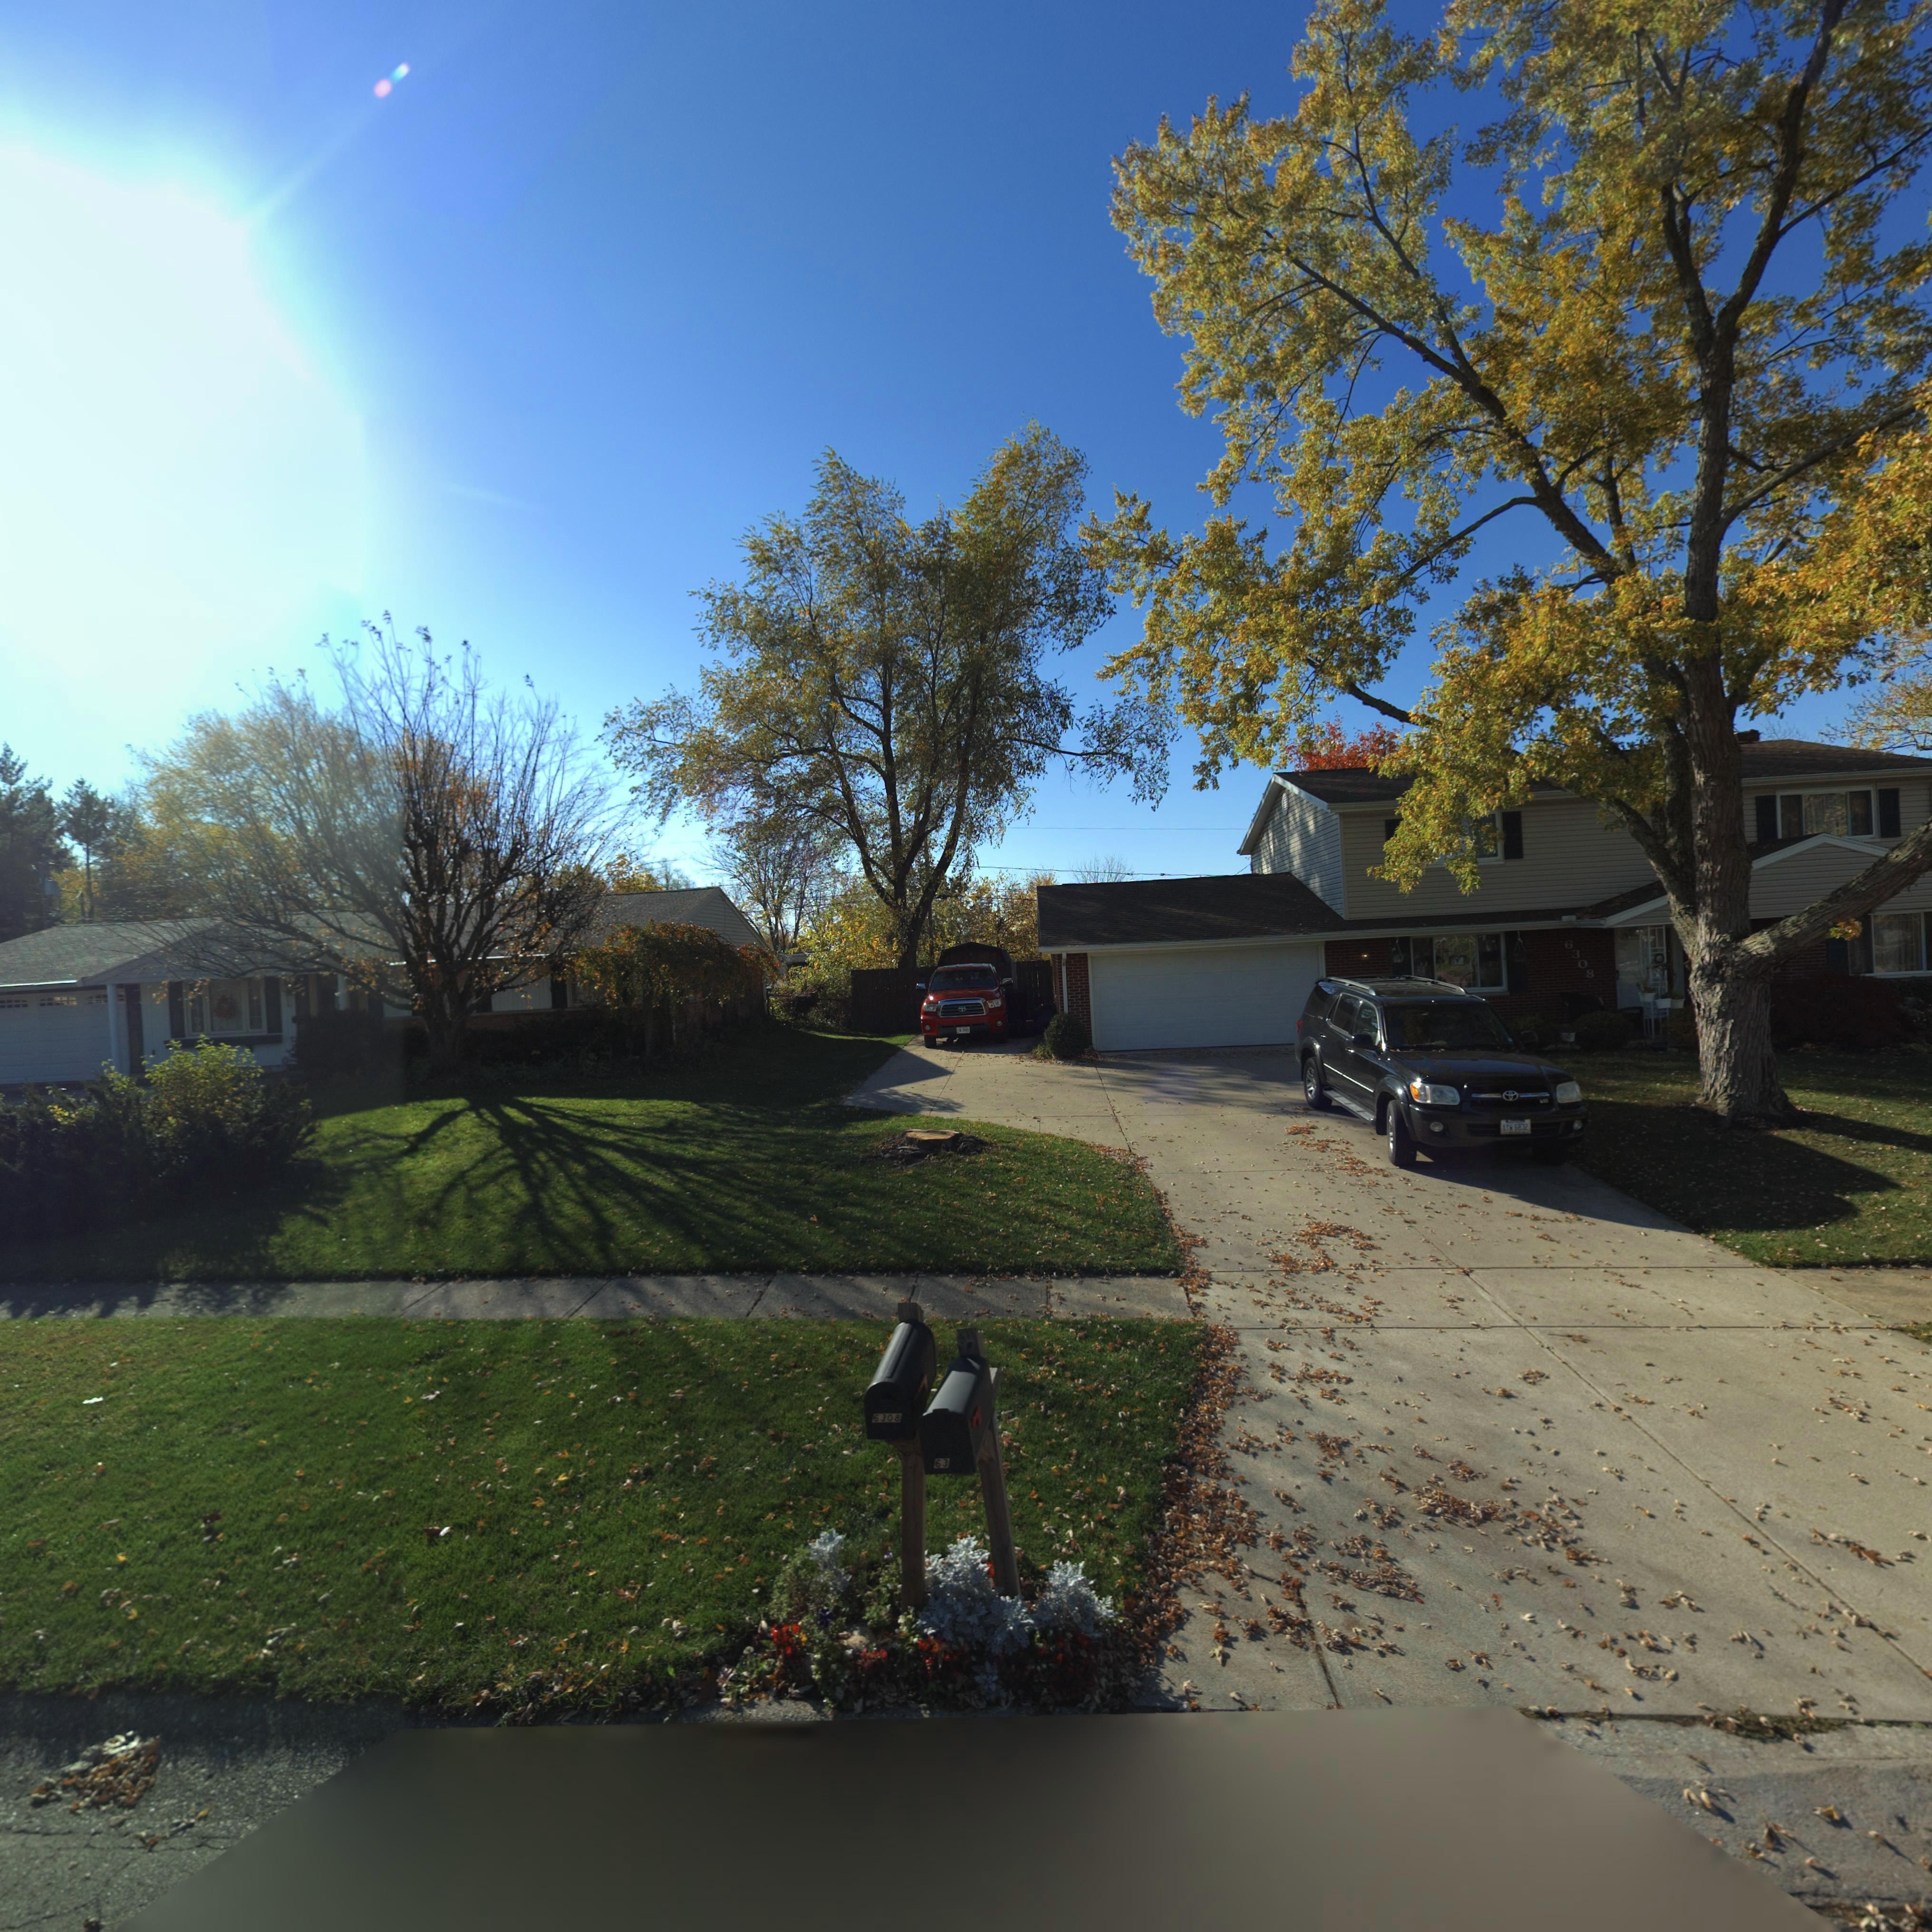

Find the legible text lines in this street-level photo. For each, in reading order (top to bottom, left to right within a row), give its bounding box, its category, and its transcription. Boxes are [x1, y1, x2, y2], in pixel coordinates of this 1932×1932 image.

[1563, 938, 1595, 980] StreetNumber: 6308
[871, 1412, 901, 1423] StreetNumber: 6308
[934, 1457, 949, 1469] StreetNumber: 63